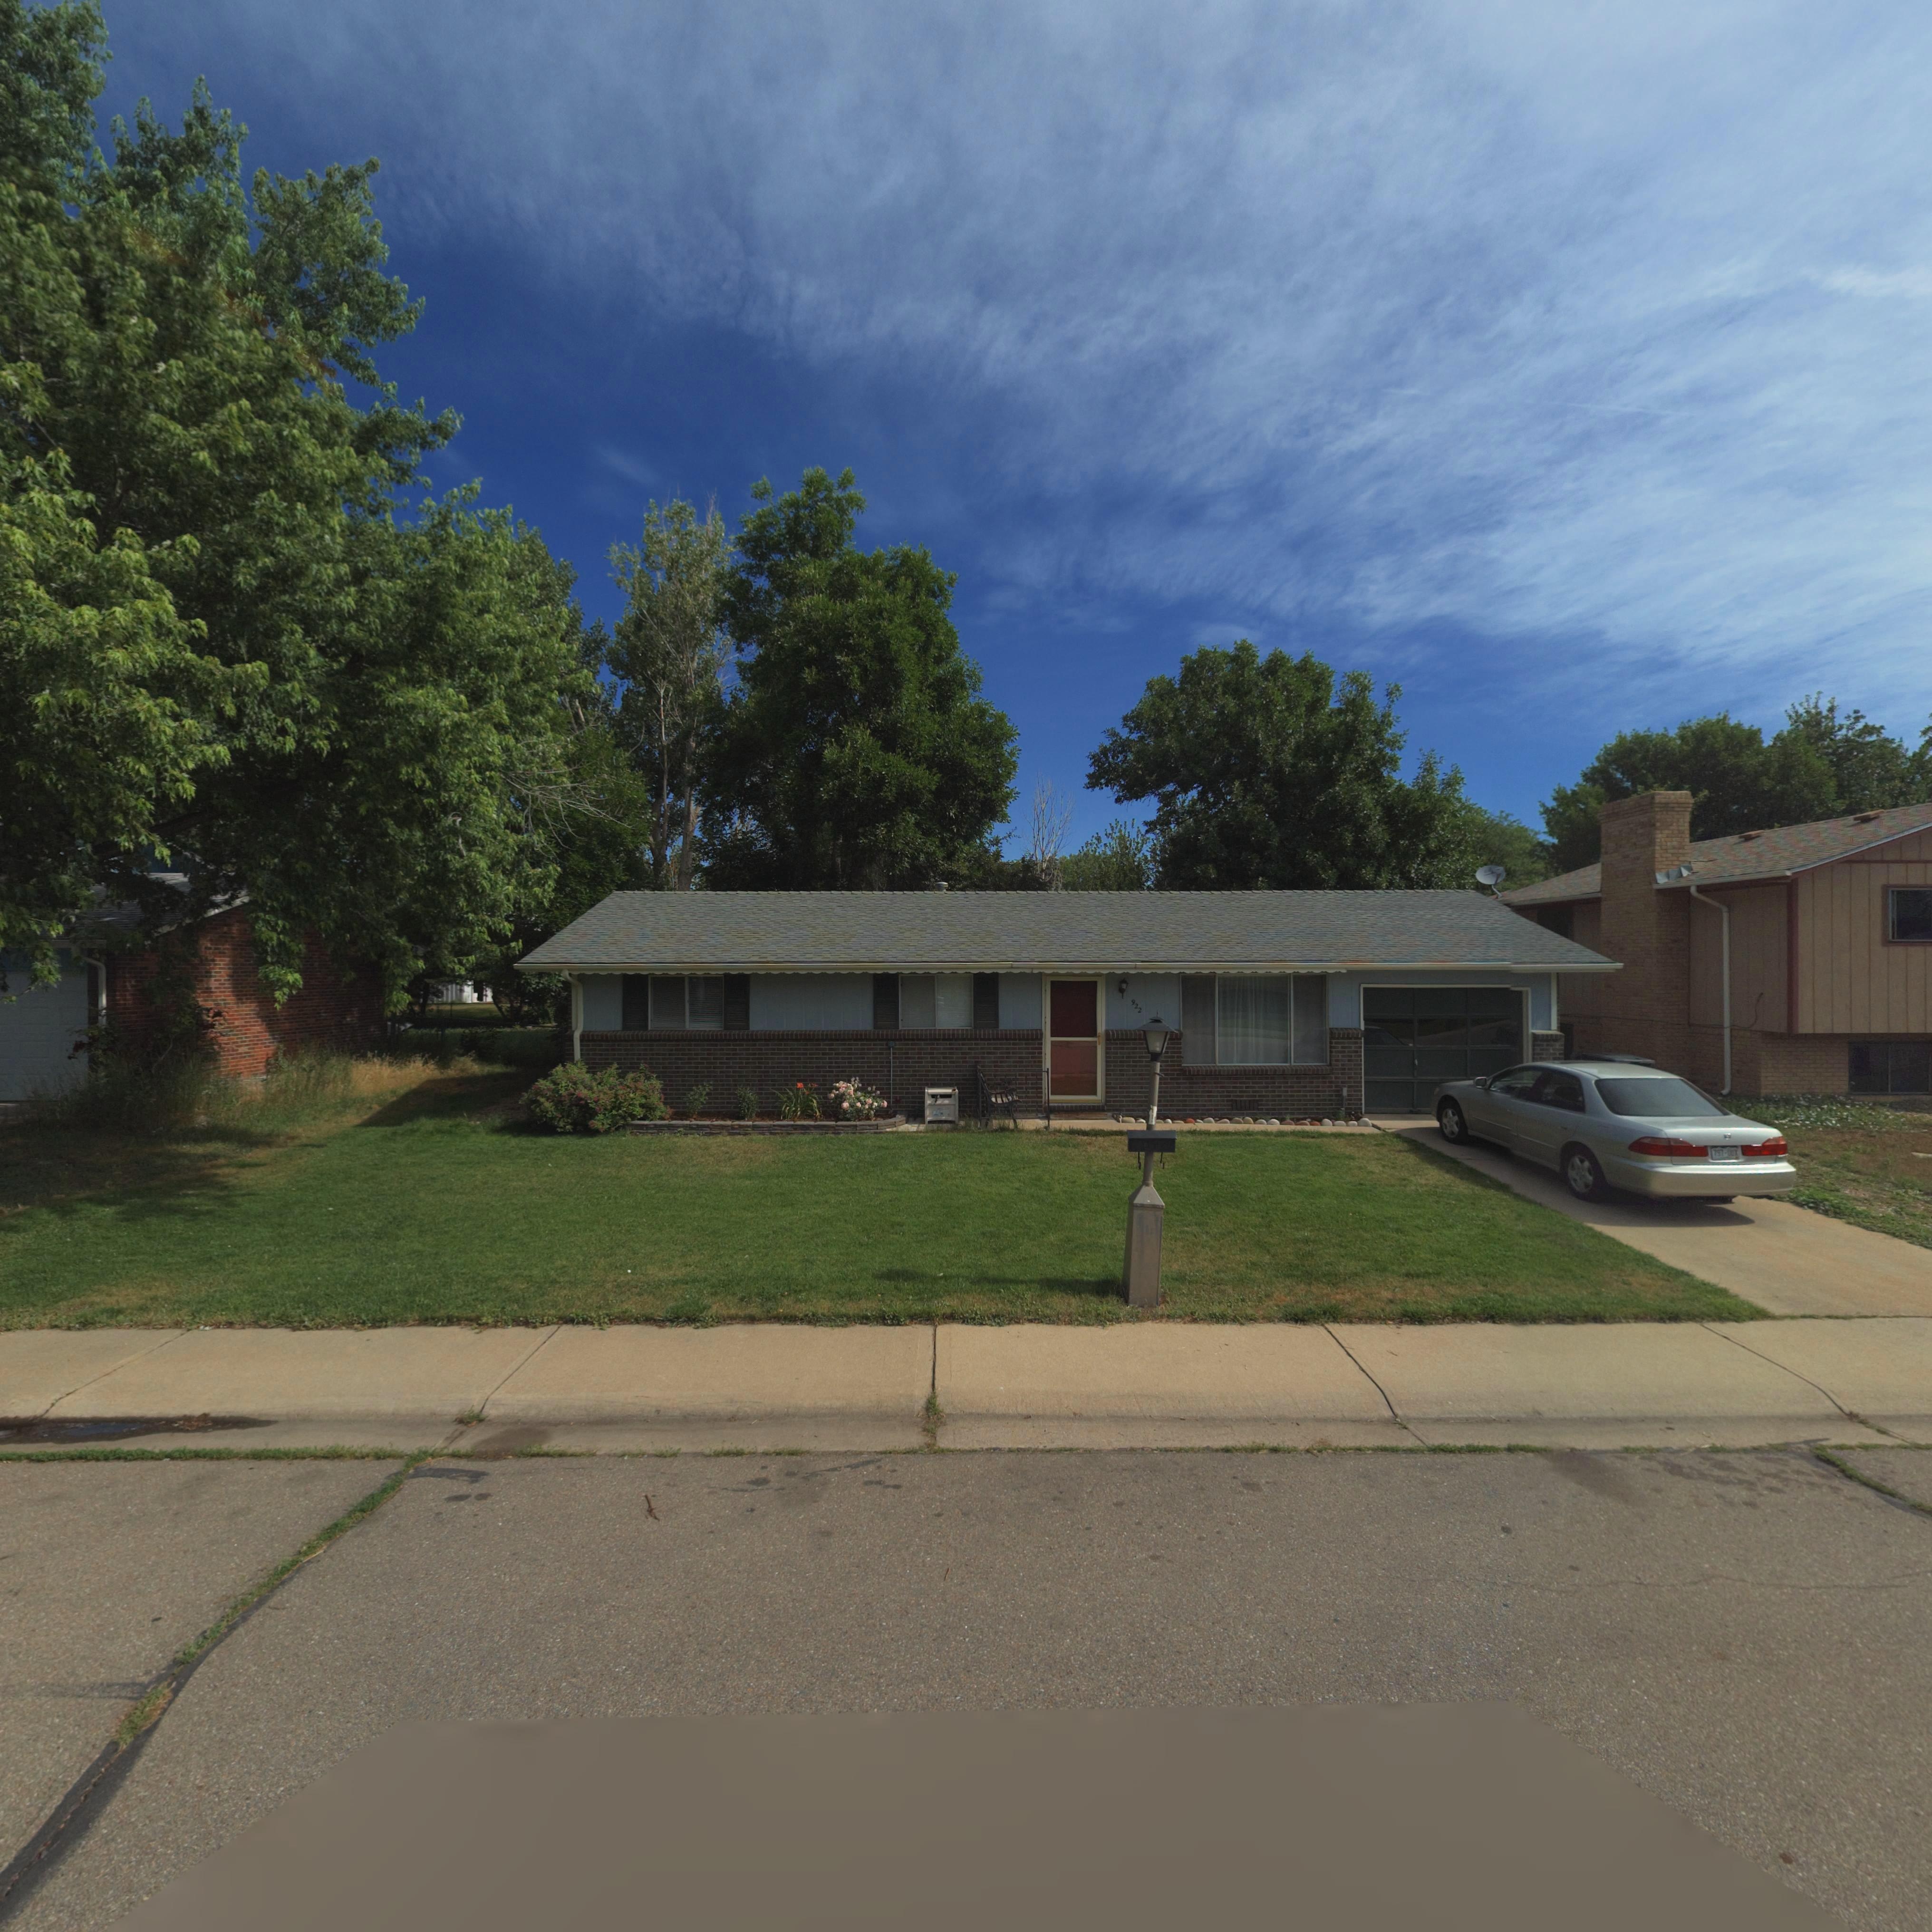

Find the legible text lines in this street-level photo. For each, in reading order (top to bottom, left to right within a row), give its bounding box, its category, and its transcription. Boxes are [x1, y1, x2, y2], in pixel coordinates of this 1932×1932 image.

[1131, 999, 1142, 1013] StreetNumber: 922